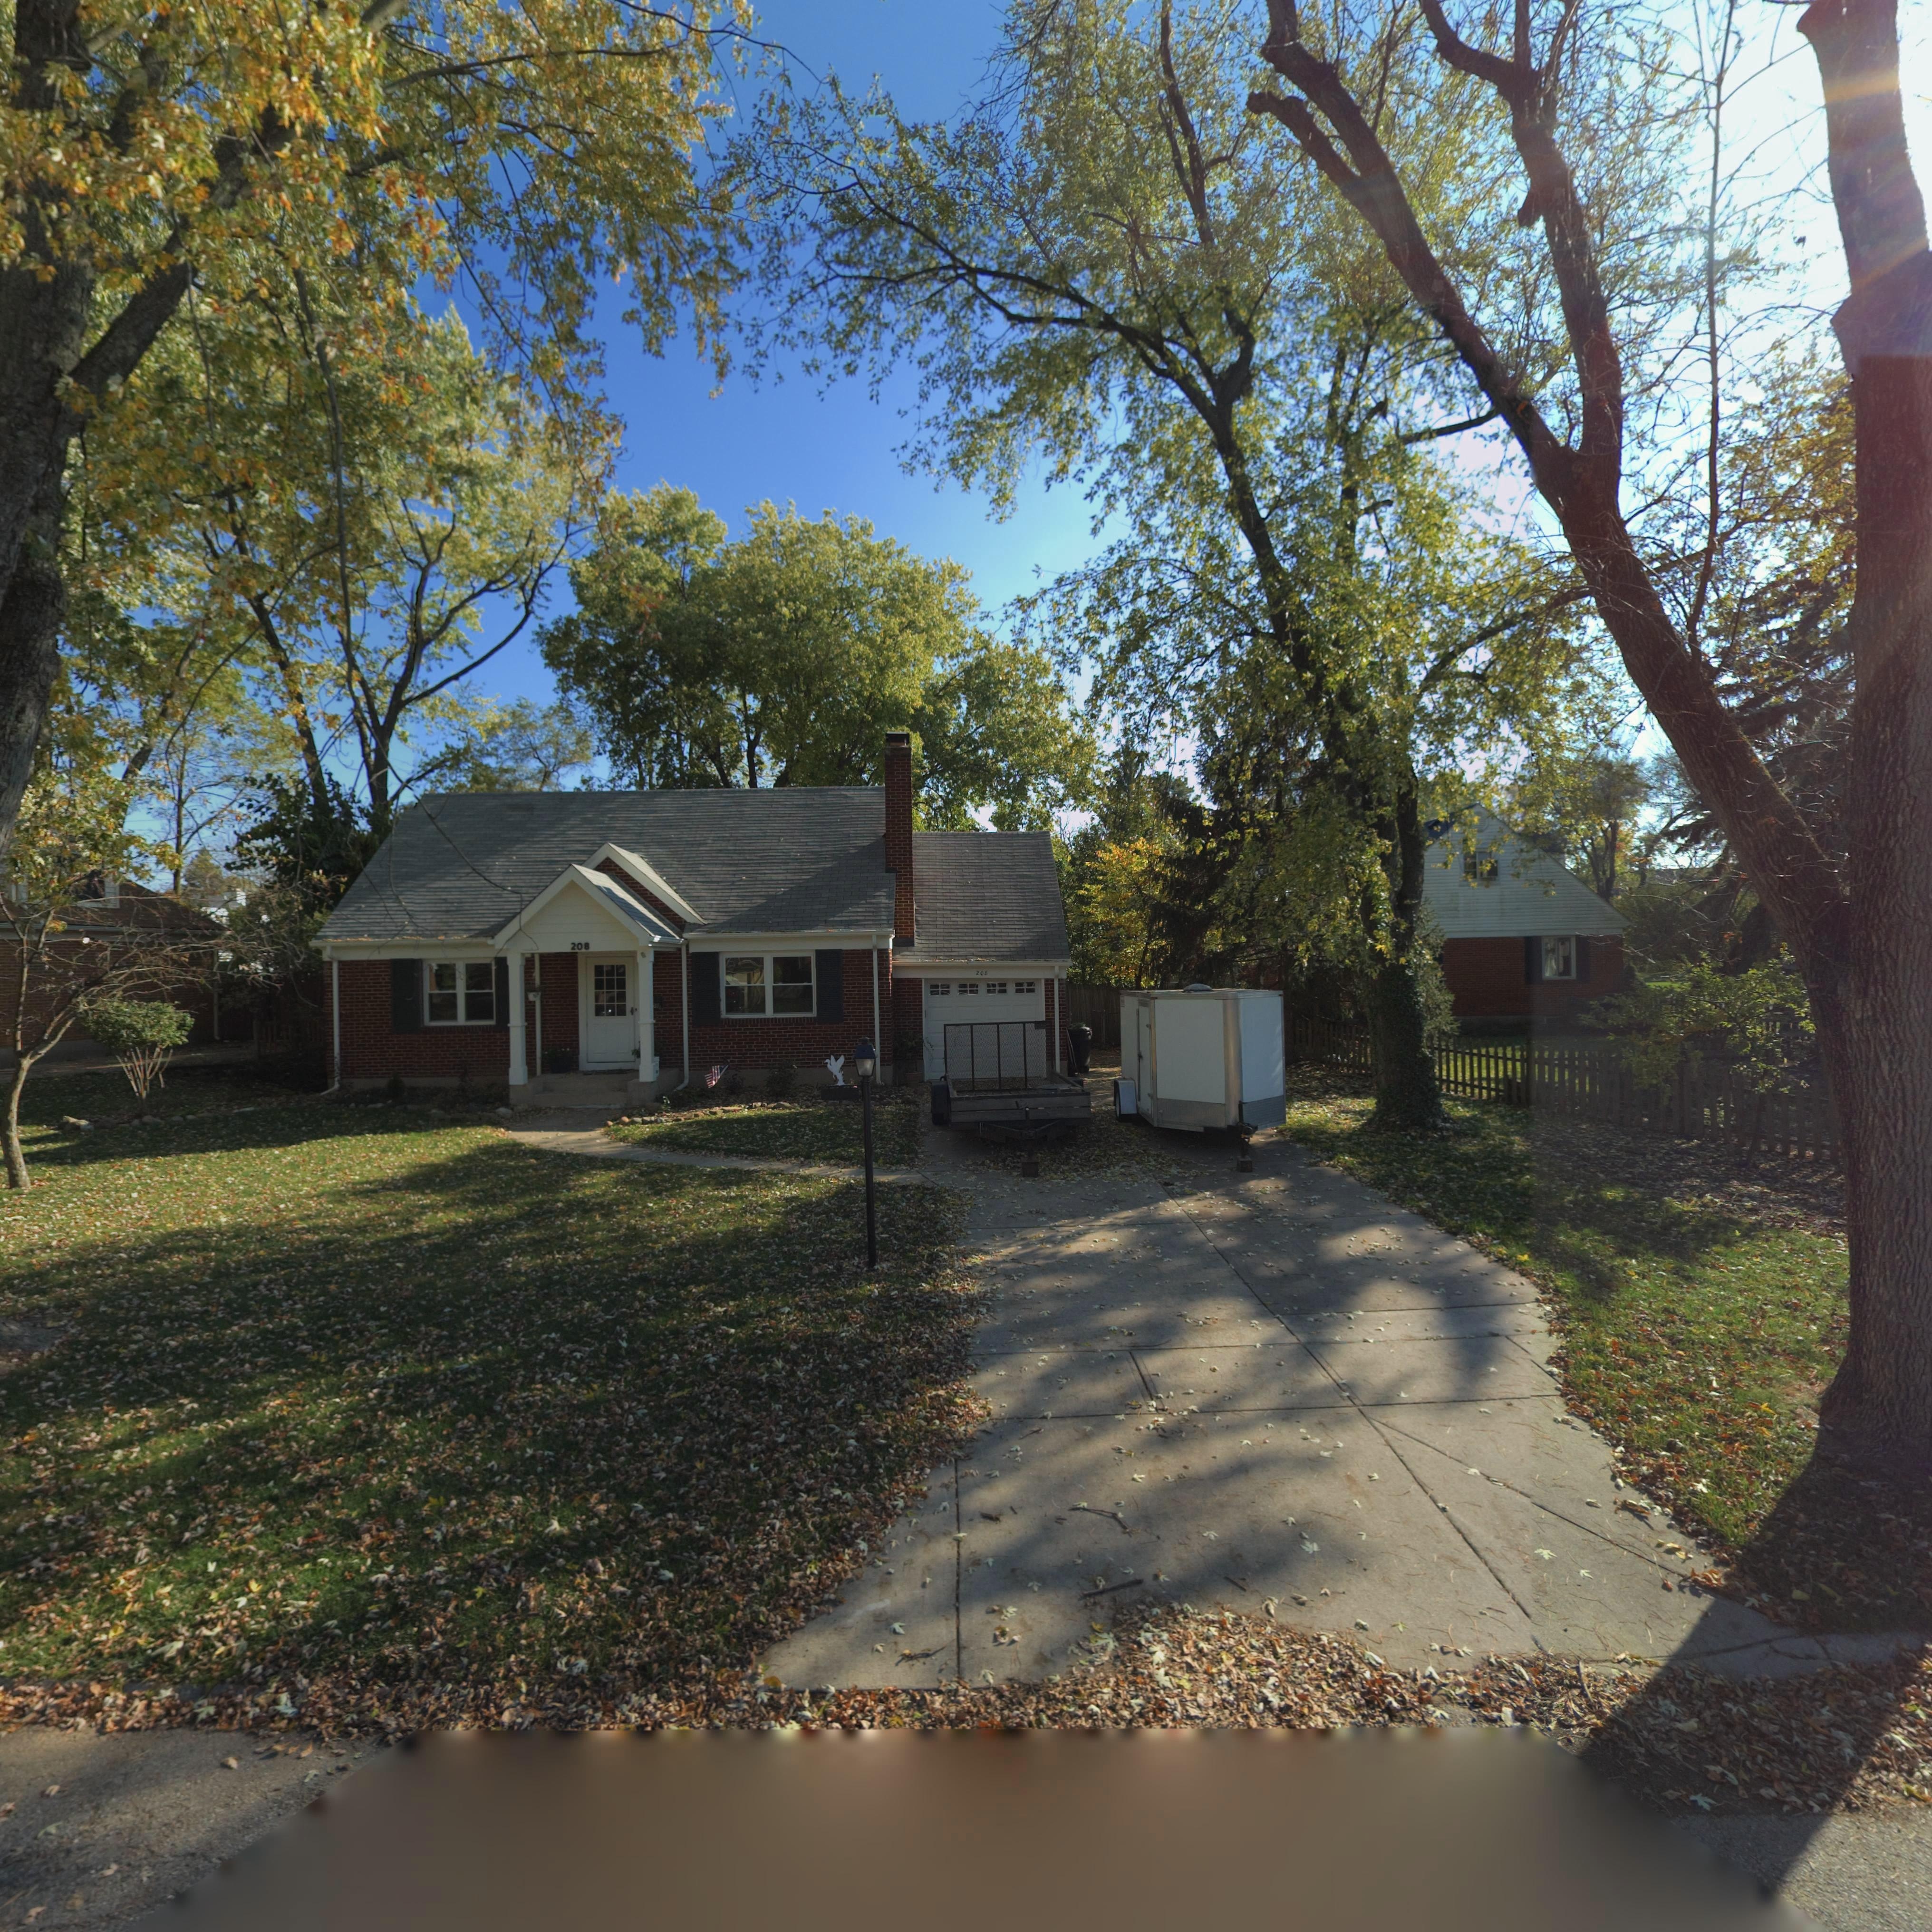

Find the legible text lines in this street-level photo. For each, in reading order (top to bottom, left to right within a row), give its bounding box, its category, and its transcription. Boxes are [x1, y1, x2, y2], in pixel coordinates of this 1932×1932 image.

[569, 940, 591, 952] StreetNumber: 208
[975, 969, 989, 976] StreetNumber: 208